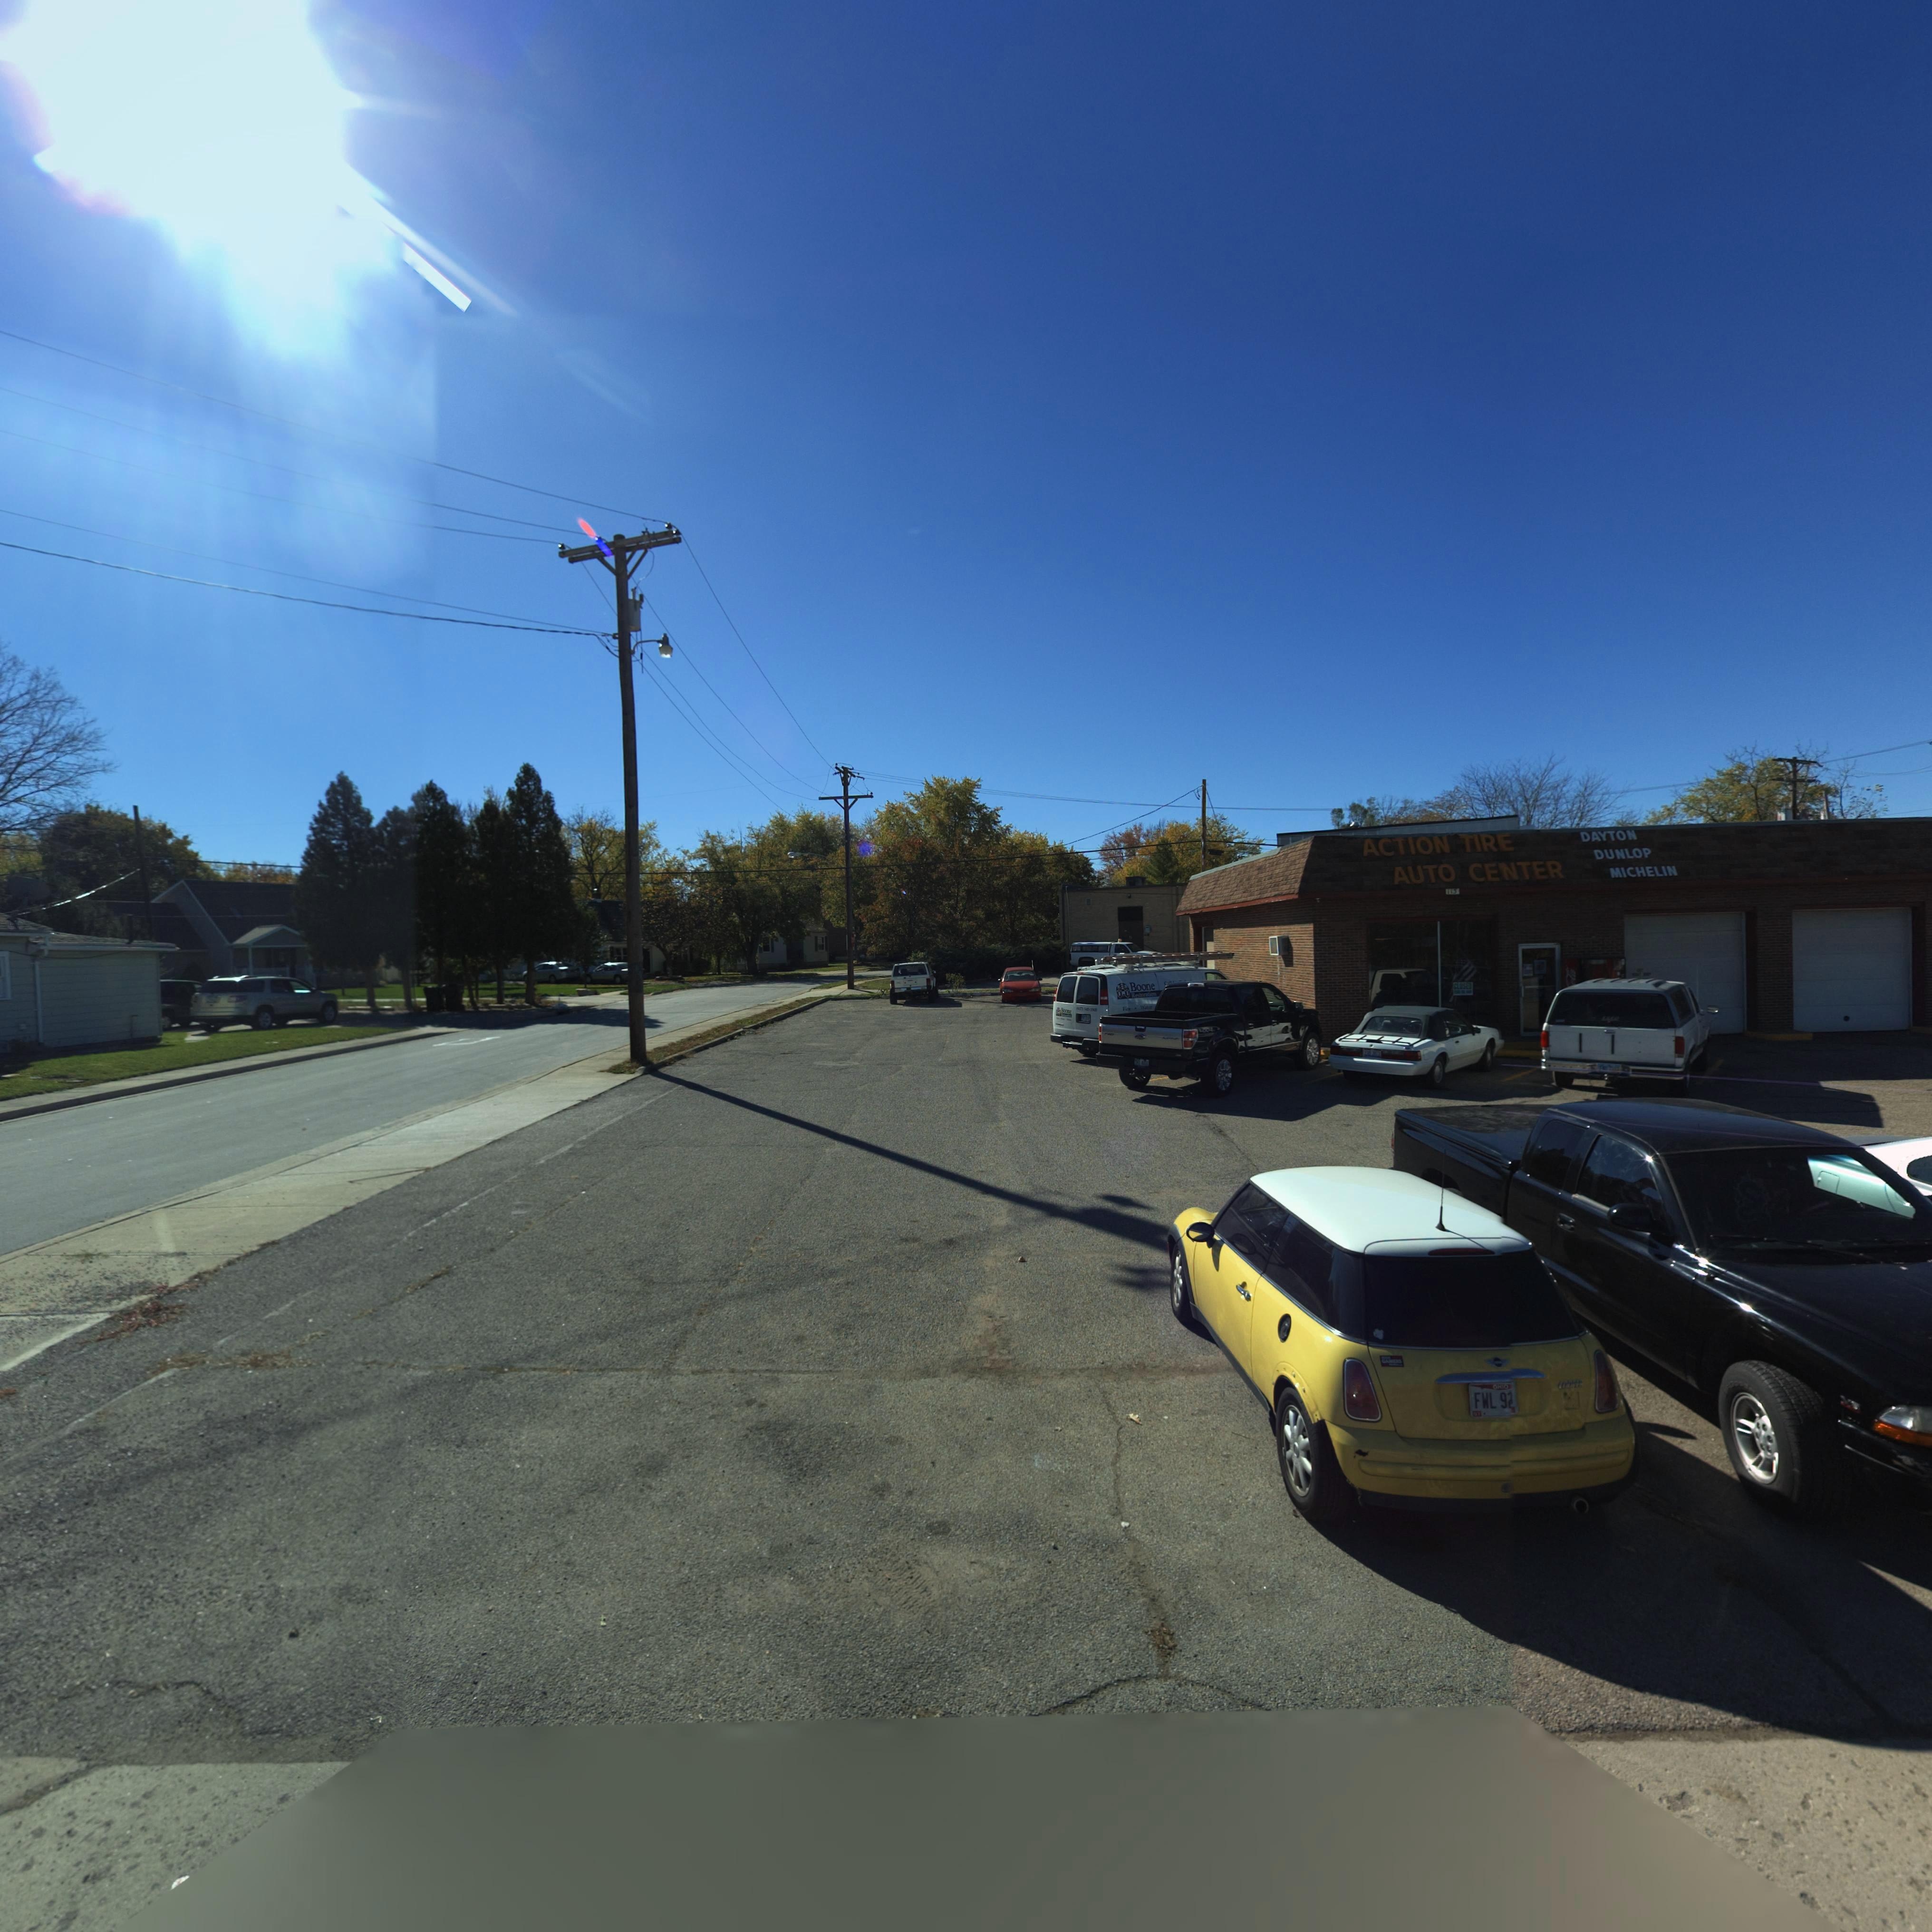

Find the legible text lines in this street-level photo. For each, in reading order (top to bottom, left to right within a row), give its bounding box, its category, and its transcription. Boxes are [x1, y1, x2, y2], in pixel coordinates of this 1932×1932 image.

[1579, 829, 1640, 843] None: DAYTON
[1361, 831, 1519, 858] BusinessName: ACTION TIRE
[1591, 847, 1652, 861] None: DUNLOP
[1392, 859, 1568, 888] BusinessName: AUTO CENTER
[1608, 865, 1680, 879] None: MICHELIN
[1446, 888, 1459, 896] StreetNumber: 11*
[1128, 982, 1156, 992] None: Boone
[1453, 982, 1473, 990] None: CLOSED
[1130, 991, 1157, 999] None: Restoration
[1061, 1007, 1072, 1014] None: Boone
[1122, 1005, 1154, 1012] None: Fire * Water
[1198, 1027, 1214, 1034] None: 4x4
[1492, 1383, 1509, 1390] None: OHIO
[1556, 1378, 1584, 1390] None: COOPER
[1473, 1391, 1508, 1410] None: FWL 9
[1839, 1393, 1854, 1406] None: V